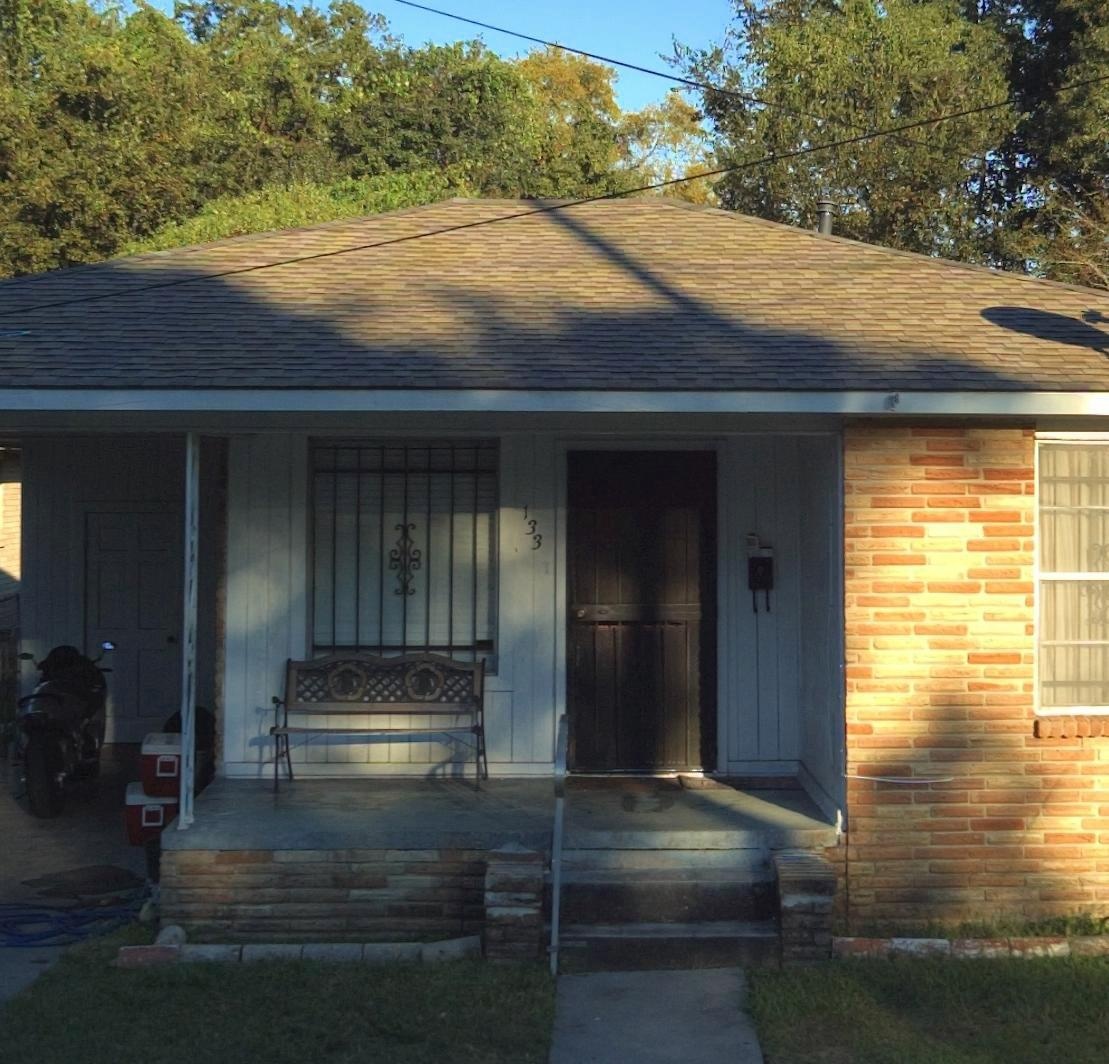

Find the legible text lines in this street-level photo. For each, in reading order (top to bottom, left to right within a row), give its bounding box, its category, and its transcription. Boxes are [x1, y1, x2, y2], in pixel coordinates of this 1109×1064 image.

[520, 500, 547, 552] StreetNumber: 133